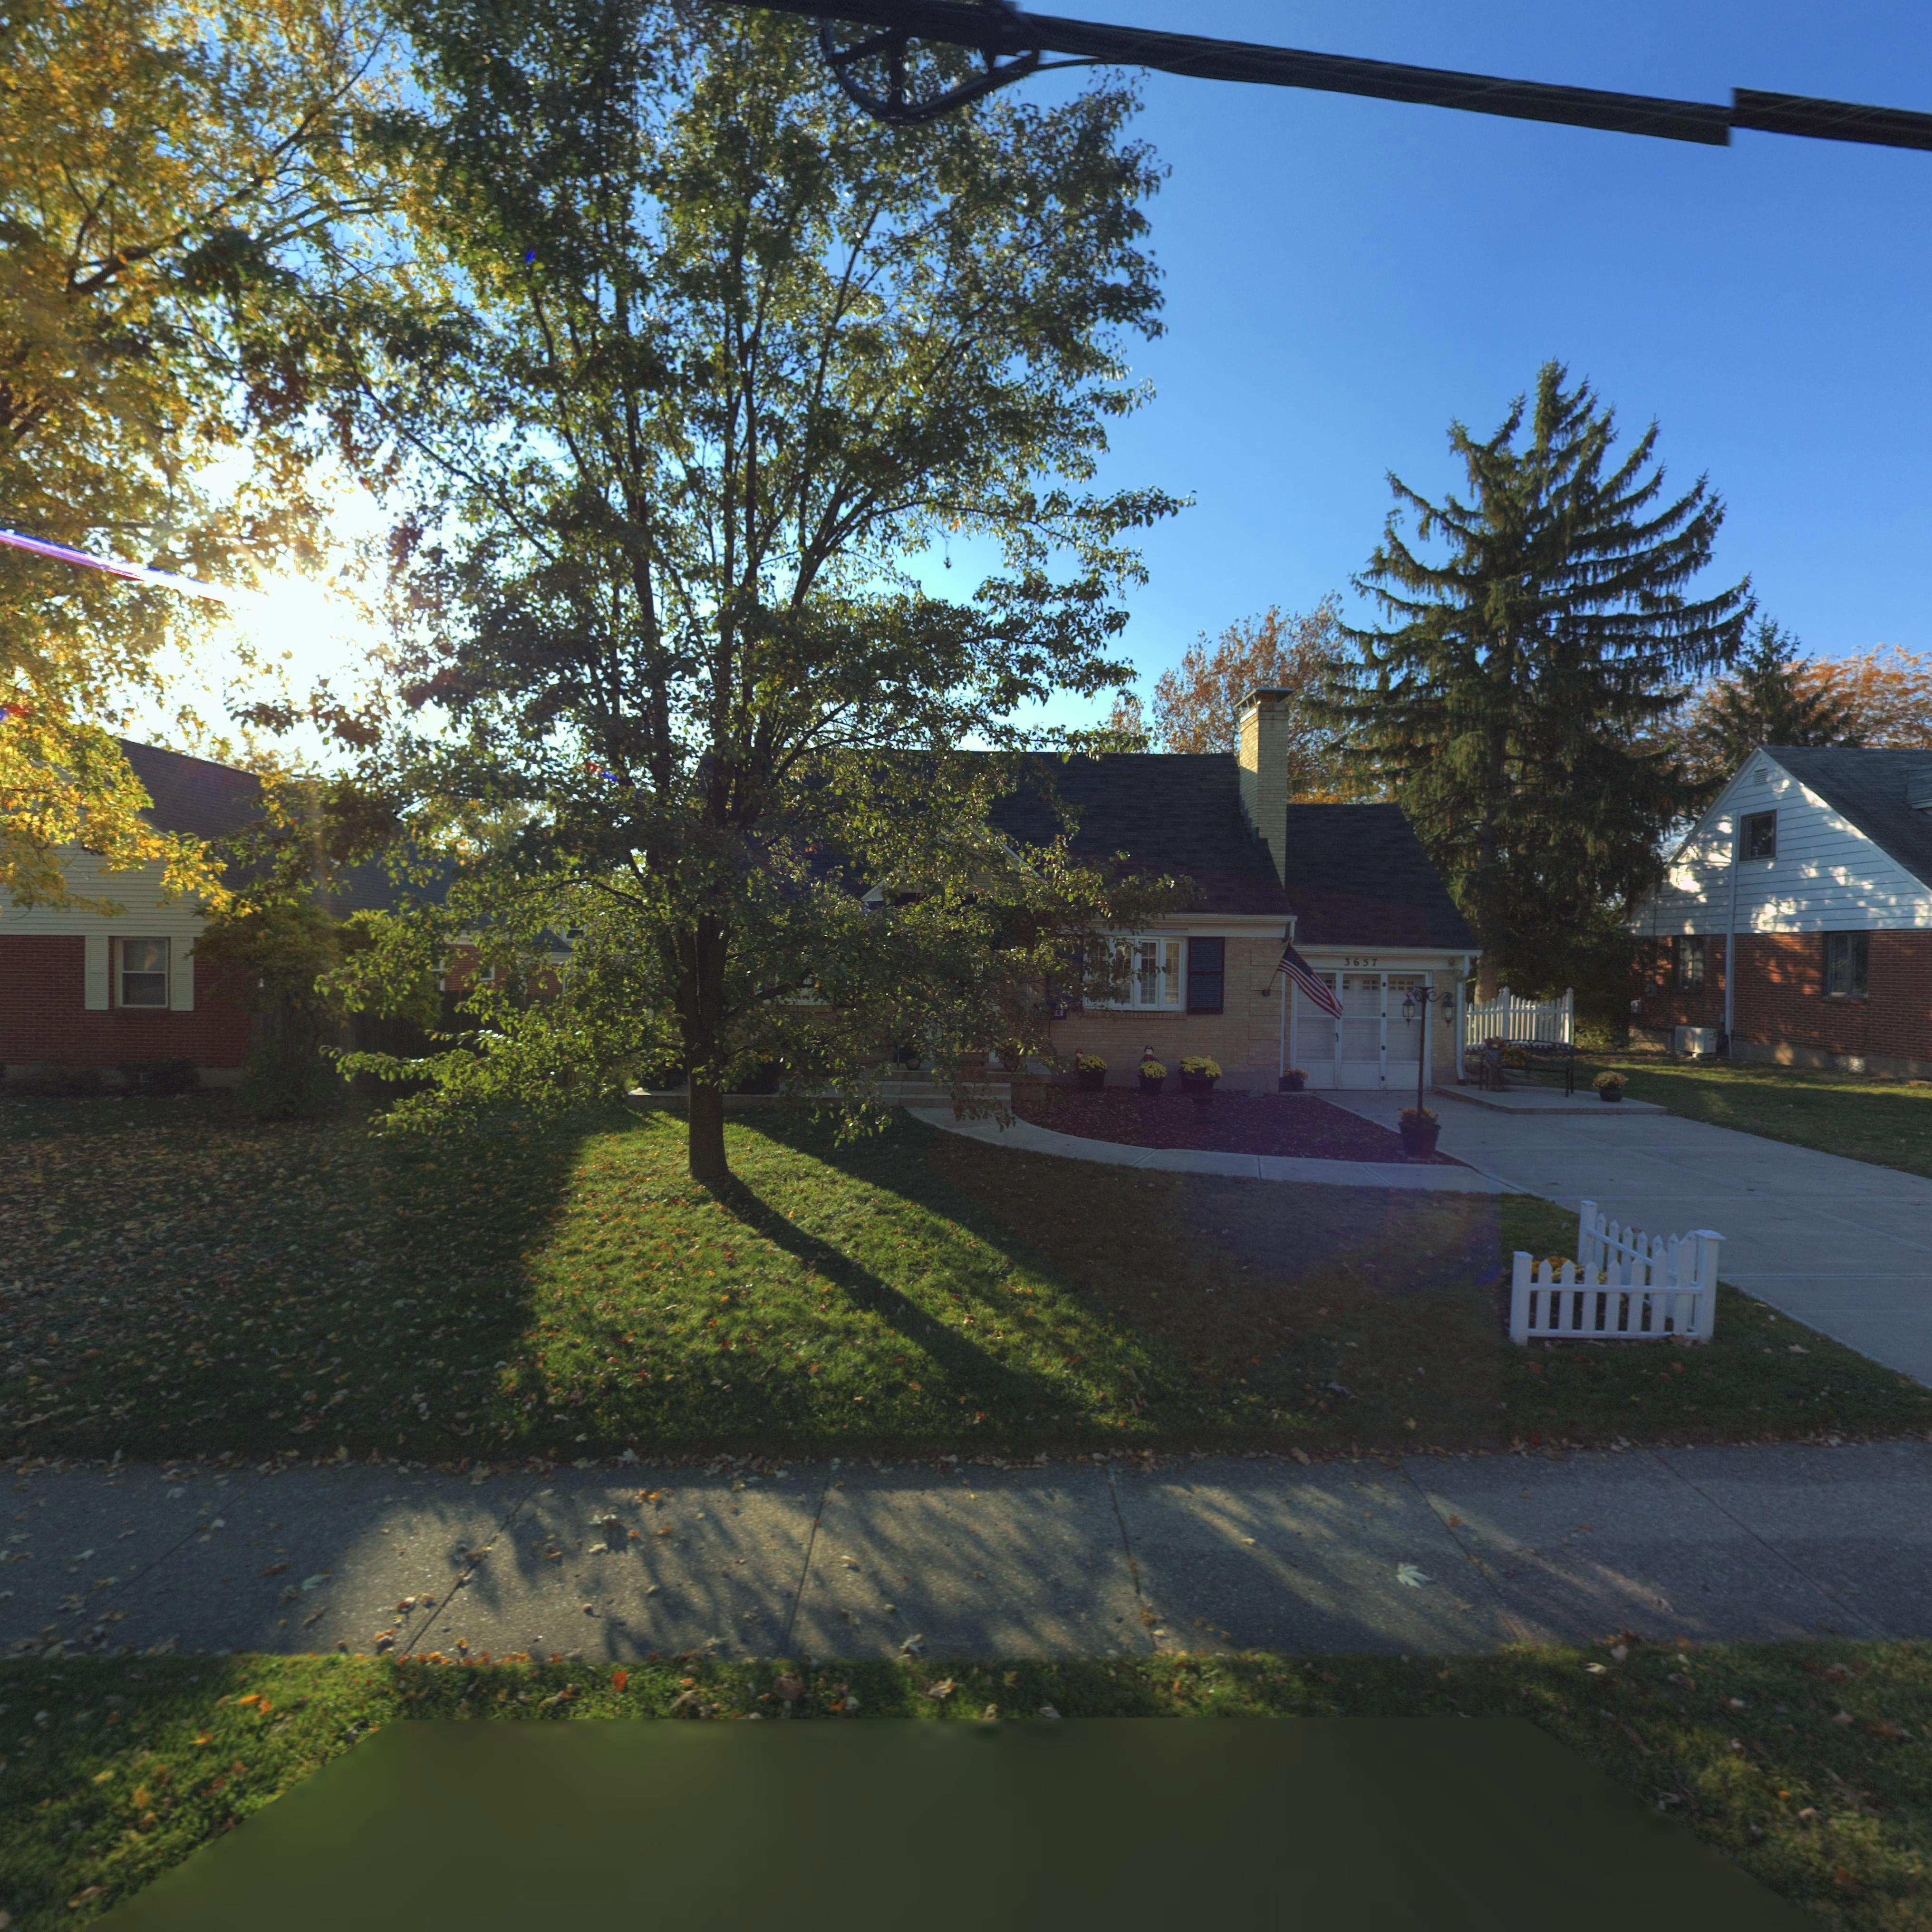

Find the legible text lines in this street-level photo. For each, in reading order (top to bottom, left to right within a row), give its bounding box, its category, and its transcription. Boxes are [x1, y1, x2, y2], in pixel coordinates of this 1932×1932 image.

[1343, 957, 1378, 966] StreetNumber: 3657